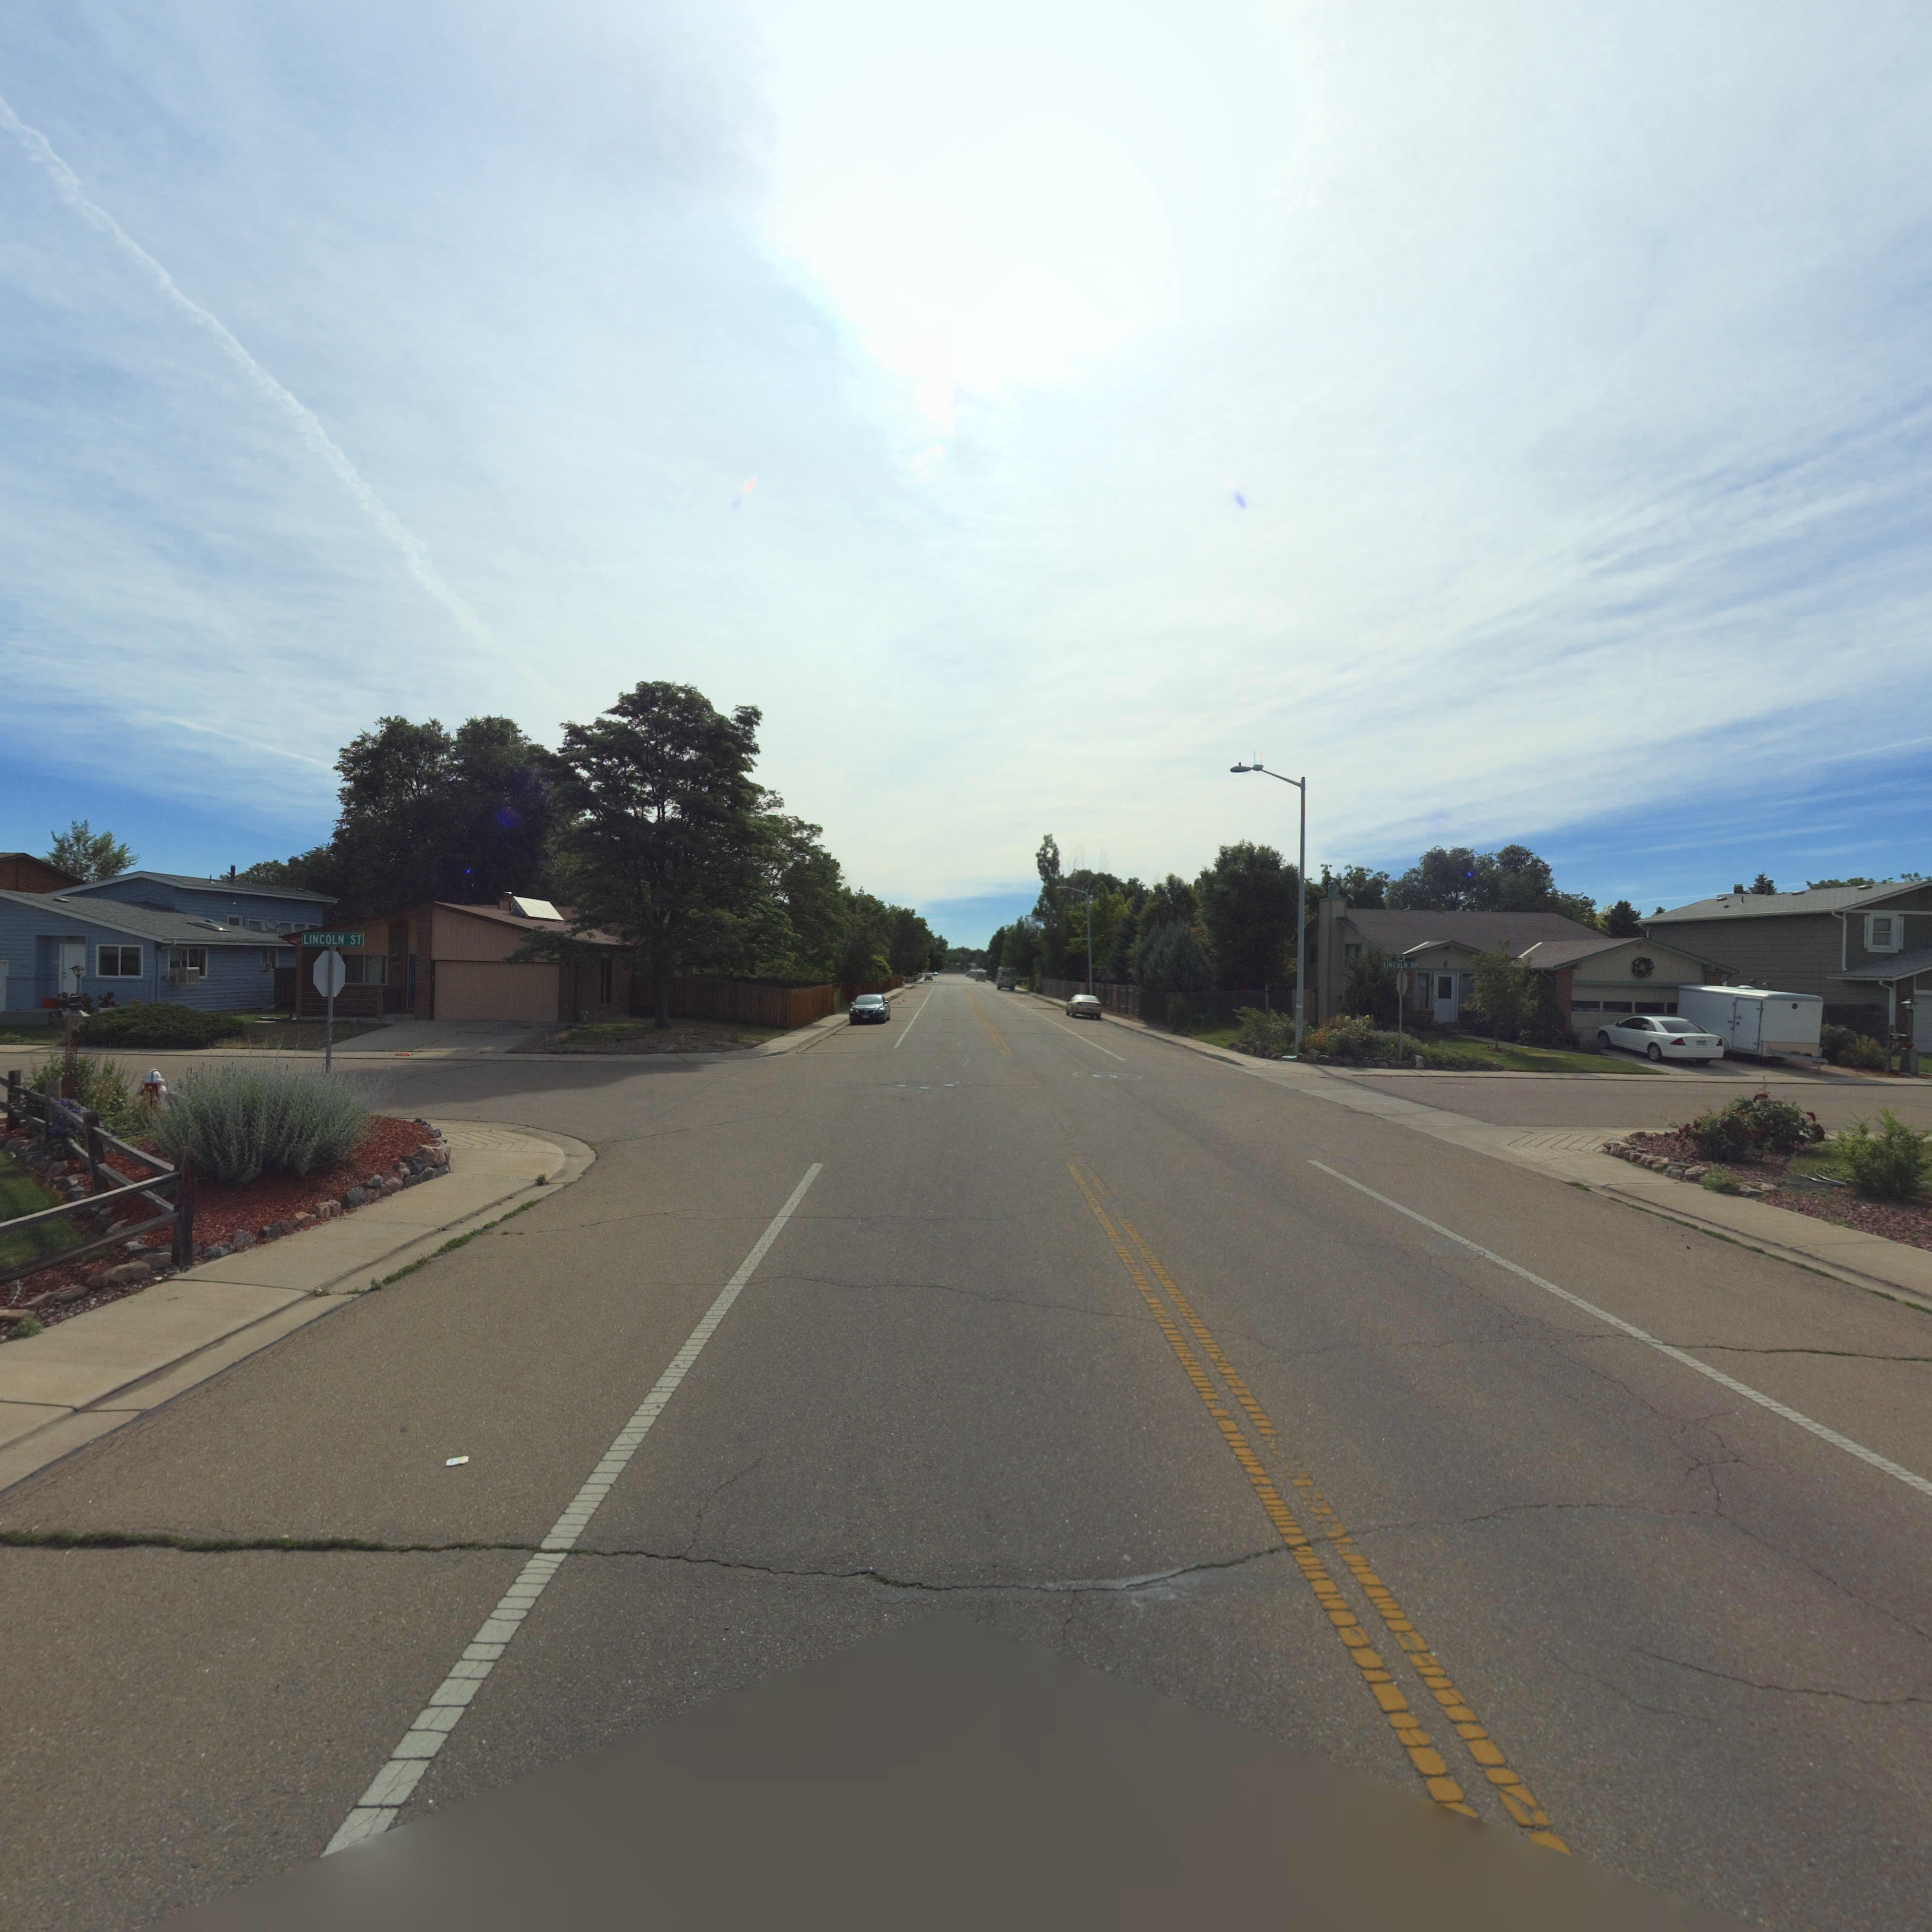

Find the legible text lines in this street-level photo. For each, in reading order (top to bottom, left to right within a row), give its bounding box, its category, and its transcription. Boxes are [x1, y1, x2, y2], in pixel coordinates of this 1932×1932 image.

[302, 934, 363, 945] StreetName: LINCOLN ST
[1383, 962, 1419, 968] StreetName: LINCOLN DR